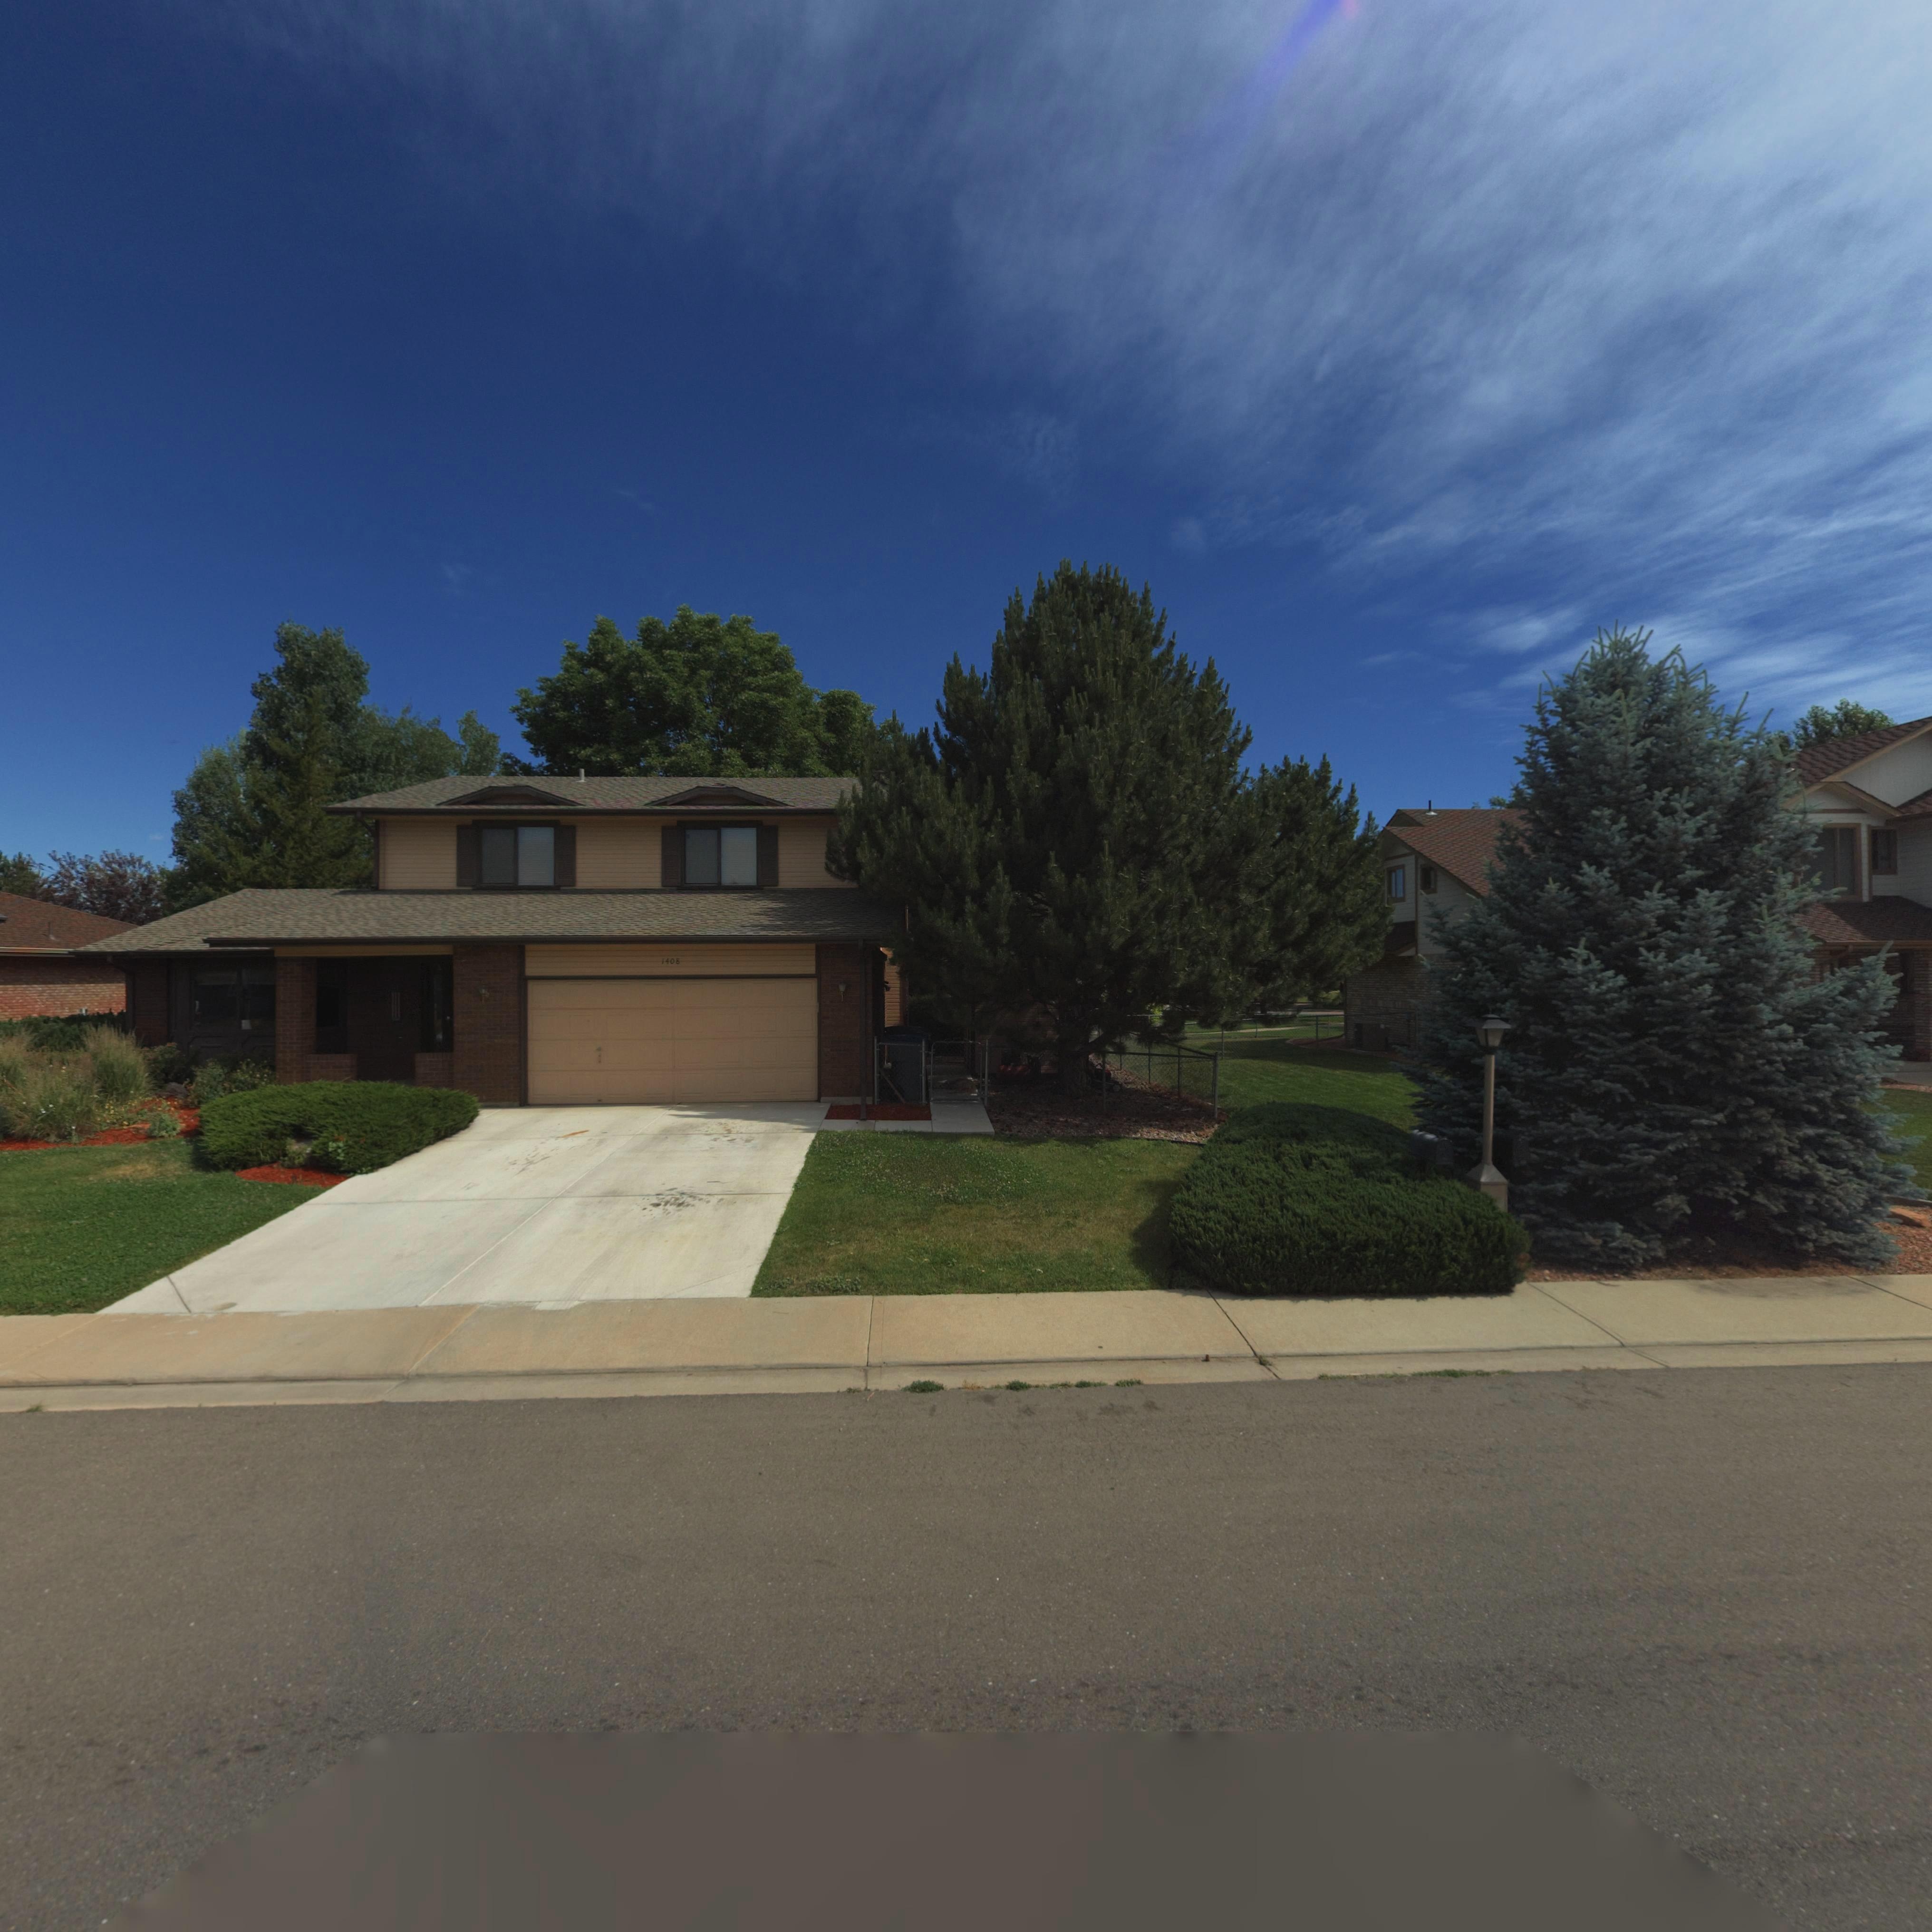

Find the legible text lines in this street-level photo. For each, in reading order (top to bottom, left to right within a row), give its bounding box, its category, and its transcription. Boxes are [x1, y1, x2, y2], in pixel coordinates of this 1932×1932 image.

[661, 957, 680, 965] StreetNumber: 1408